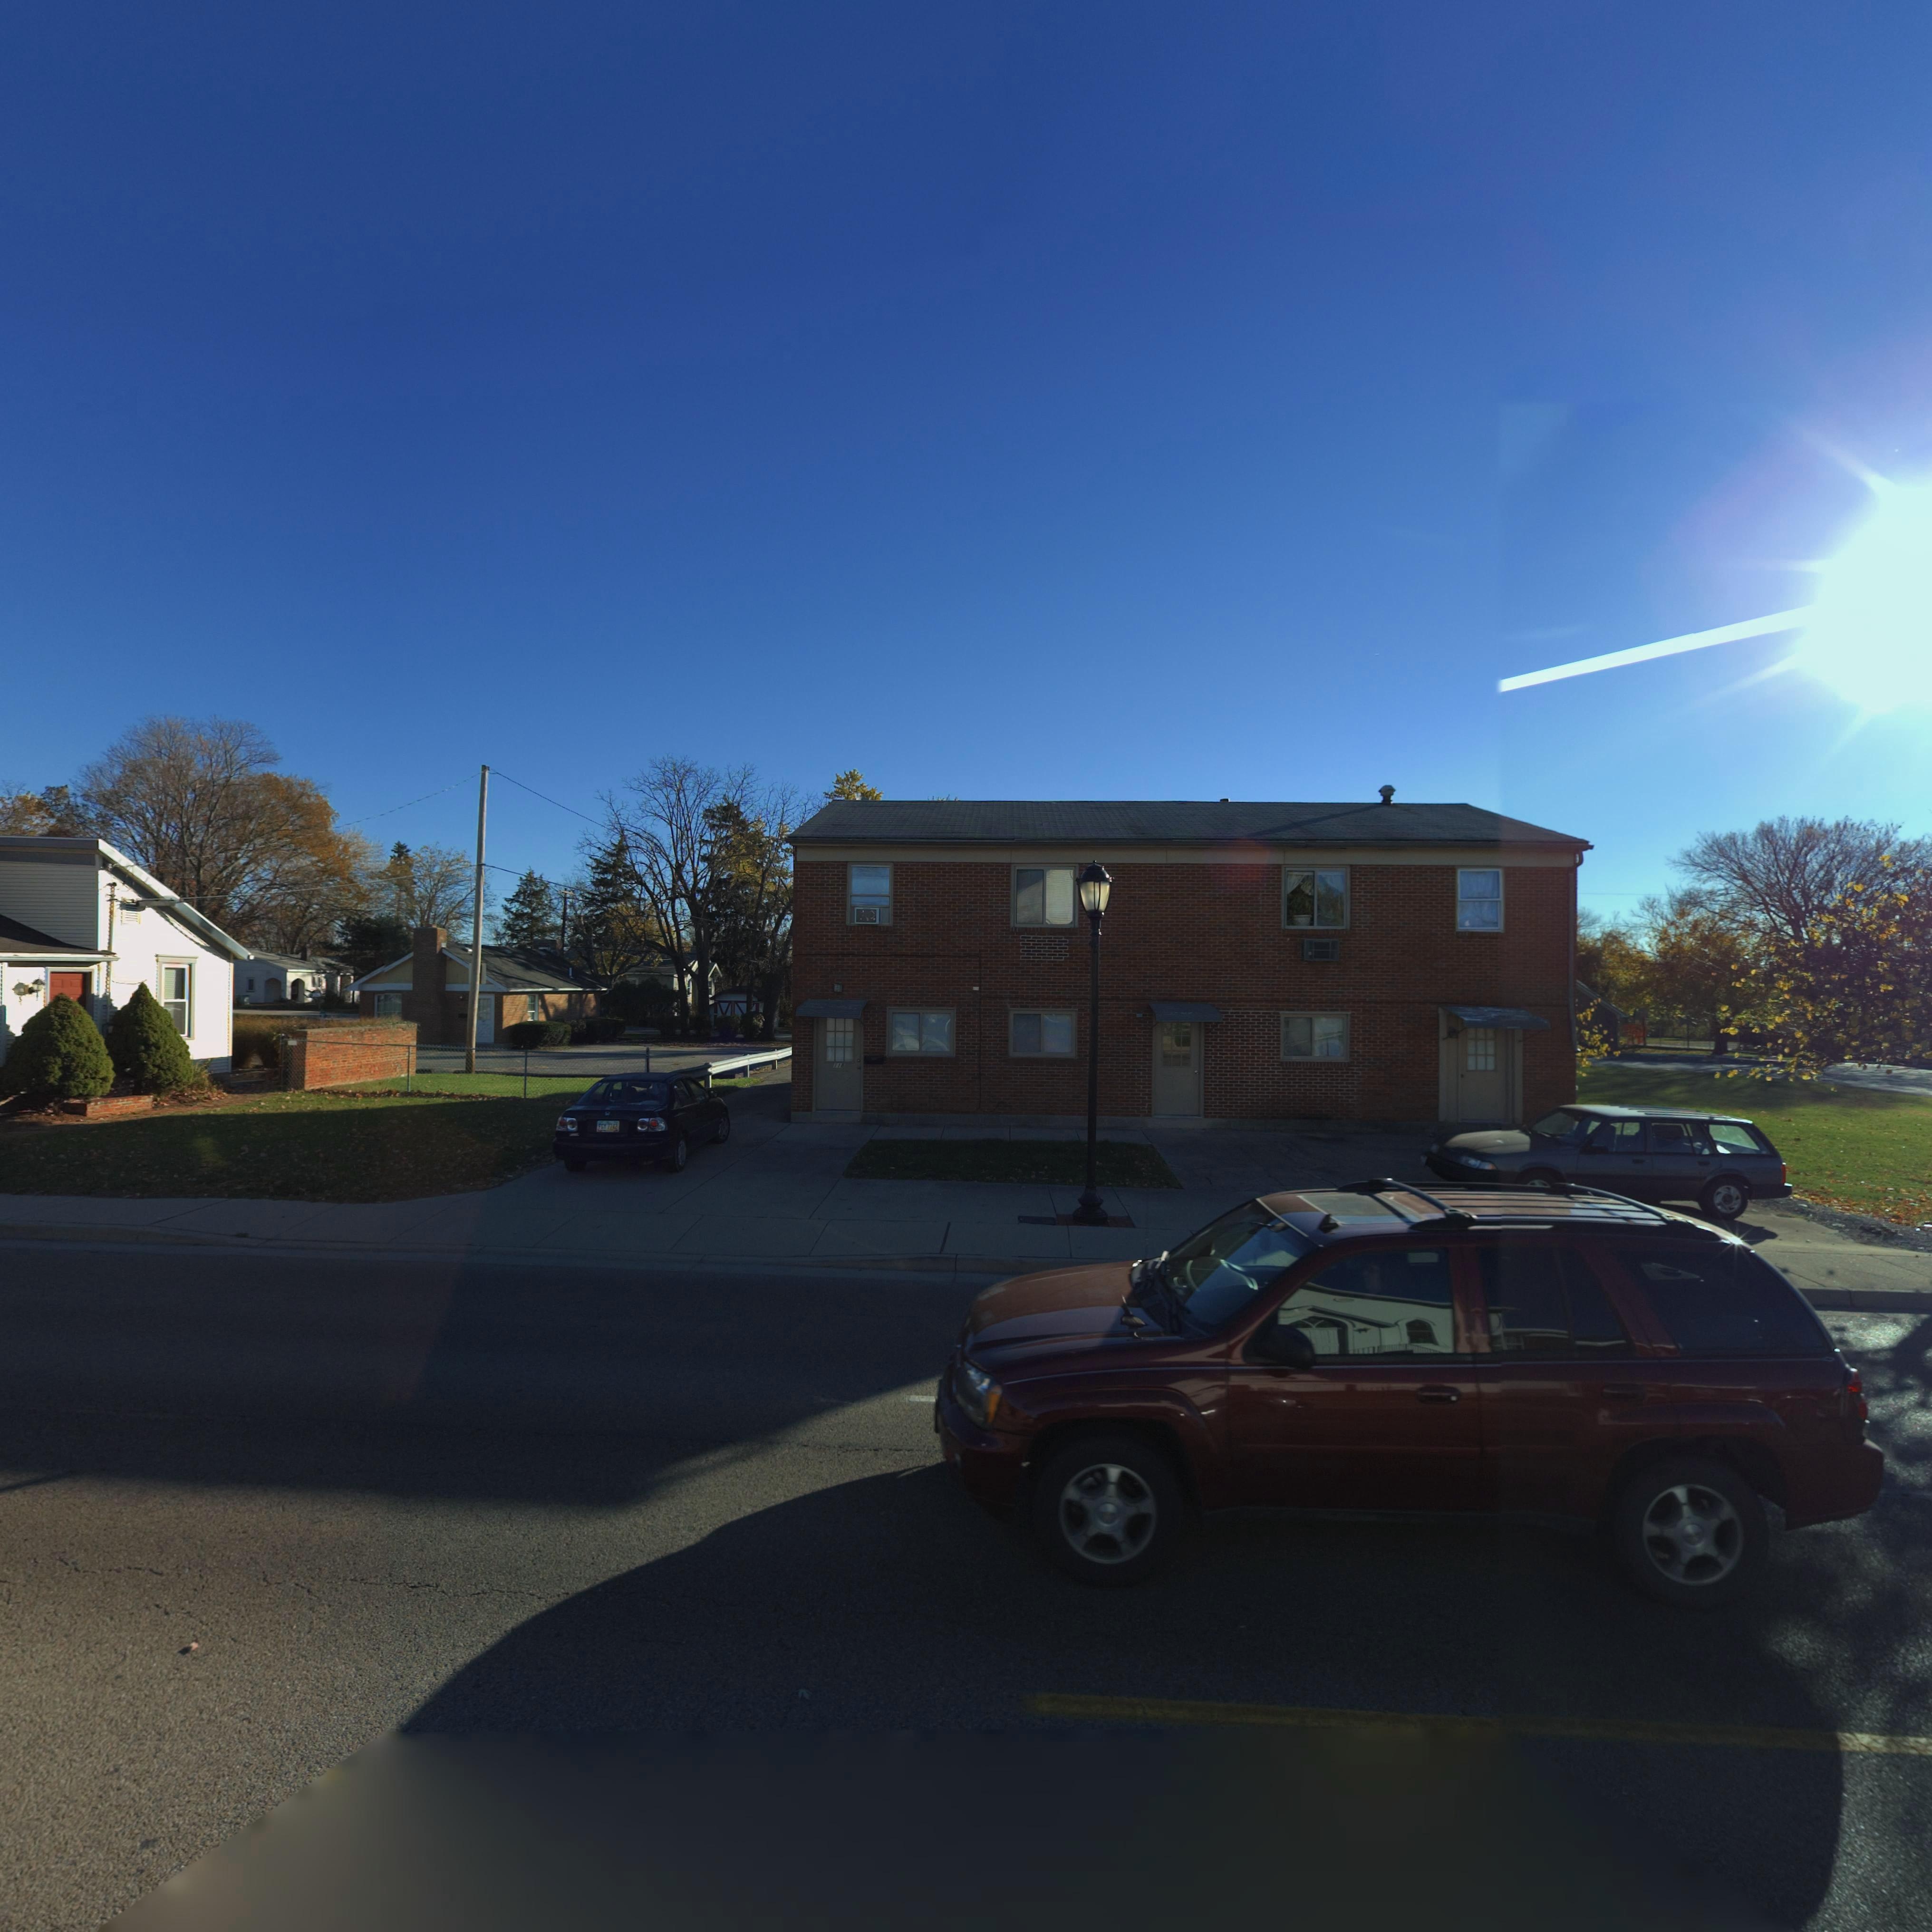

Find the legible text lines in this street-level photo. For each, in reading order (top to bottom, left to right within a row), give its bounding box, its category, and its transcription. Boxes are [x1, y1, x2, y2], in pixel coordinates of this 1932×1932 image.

[832, 1063, 846, 1068] StreetNumber: 118
[597, 1122, 618, 1130] None: *** 77*2